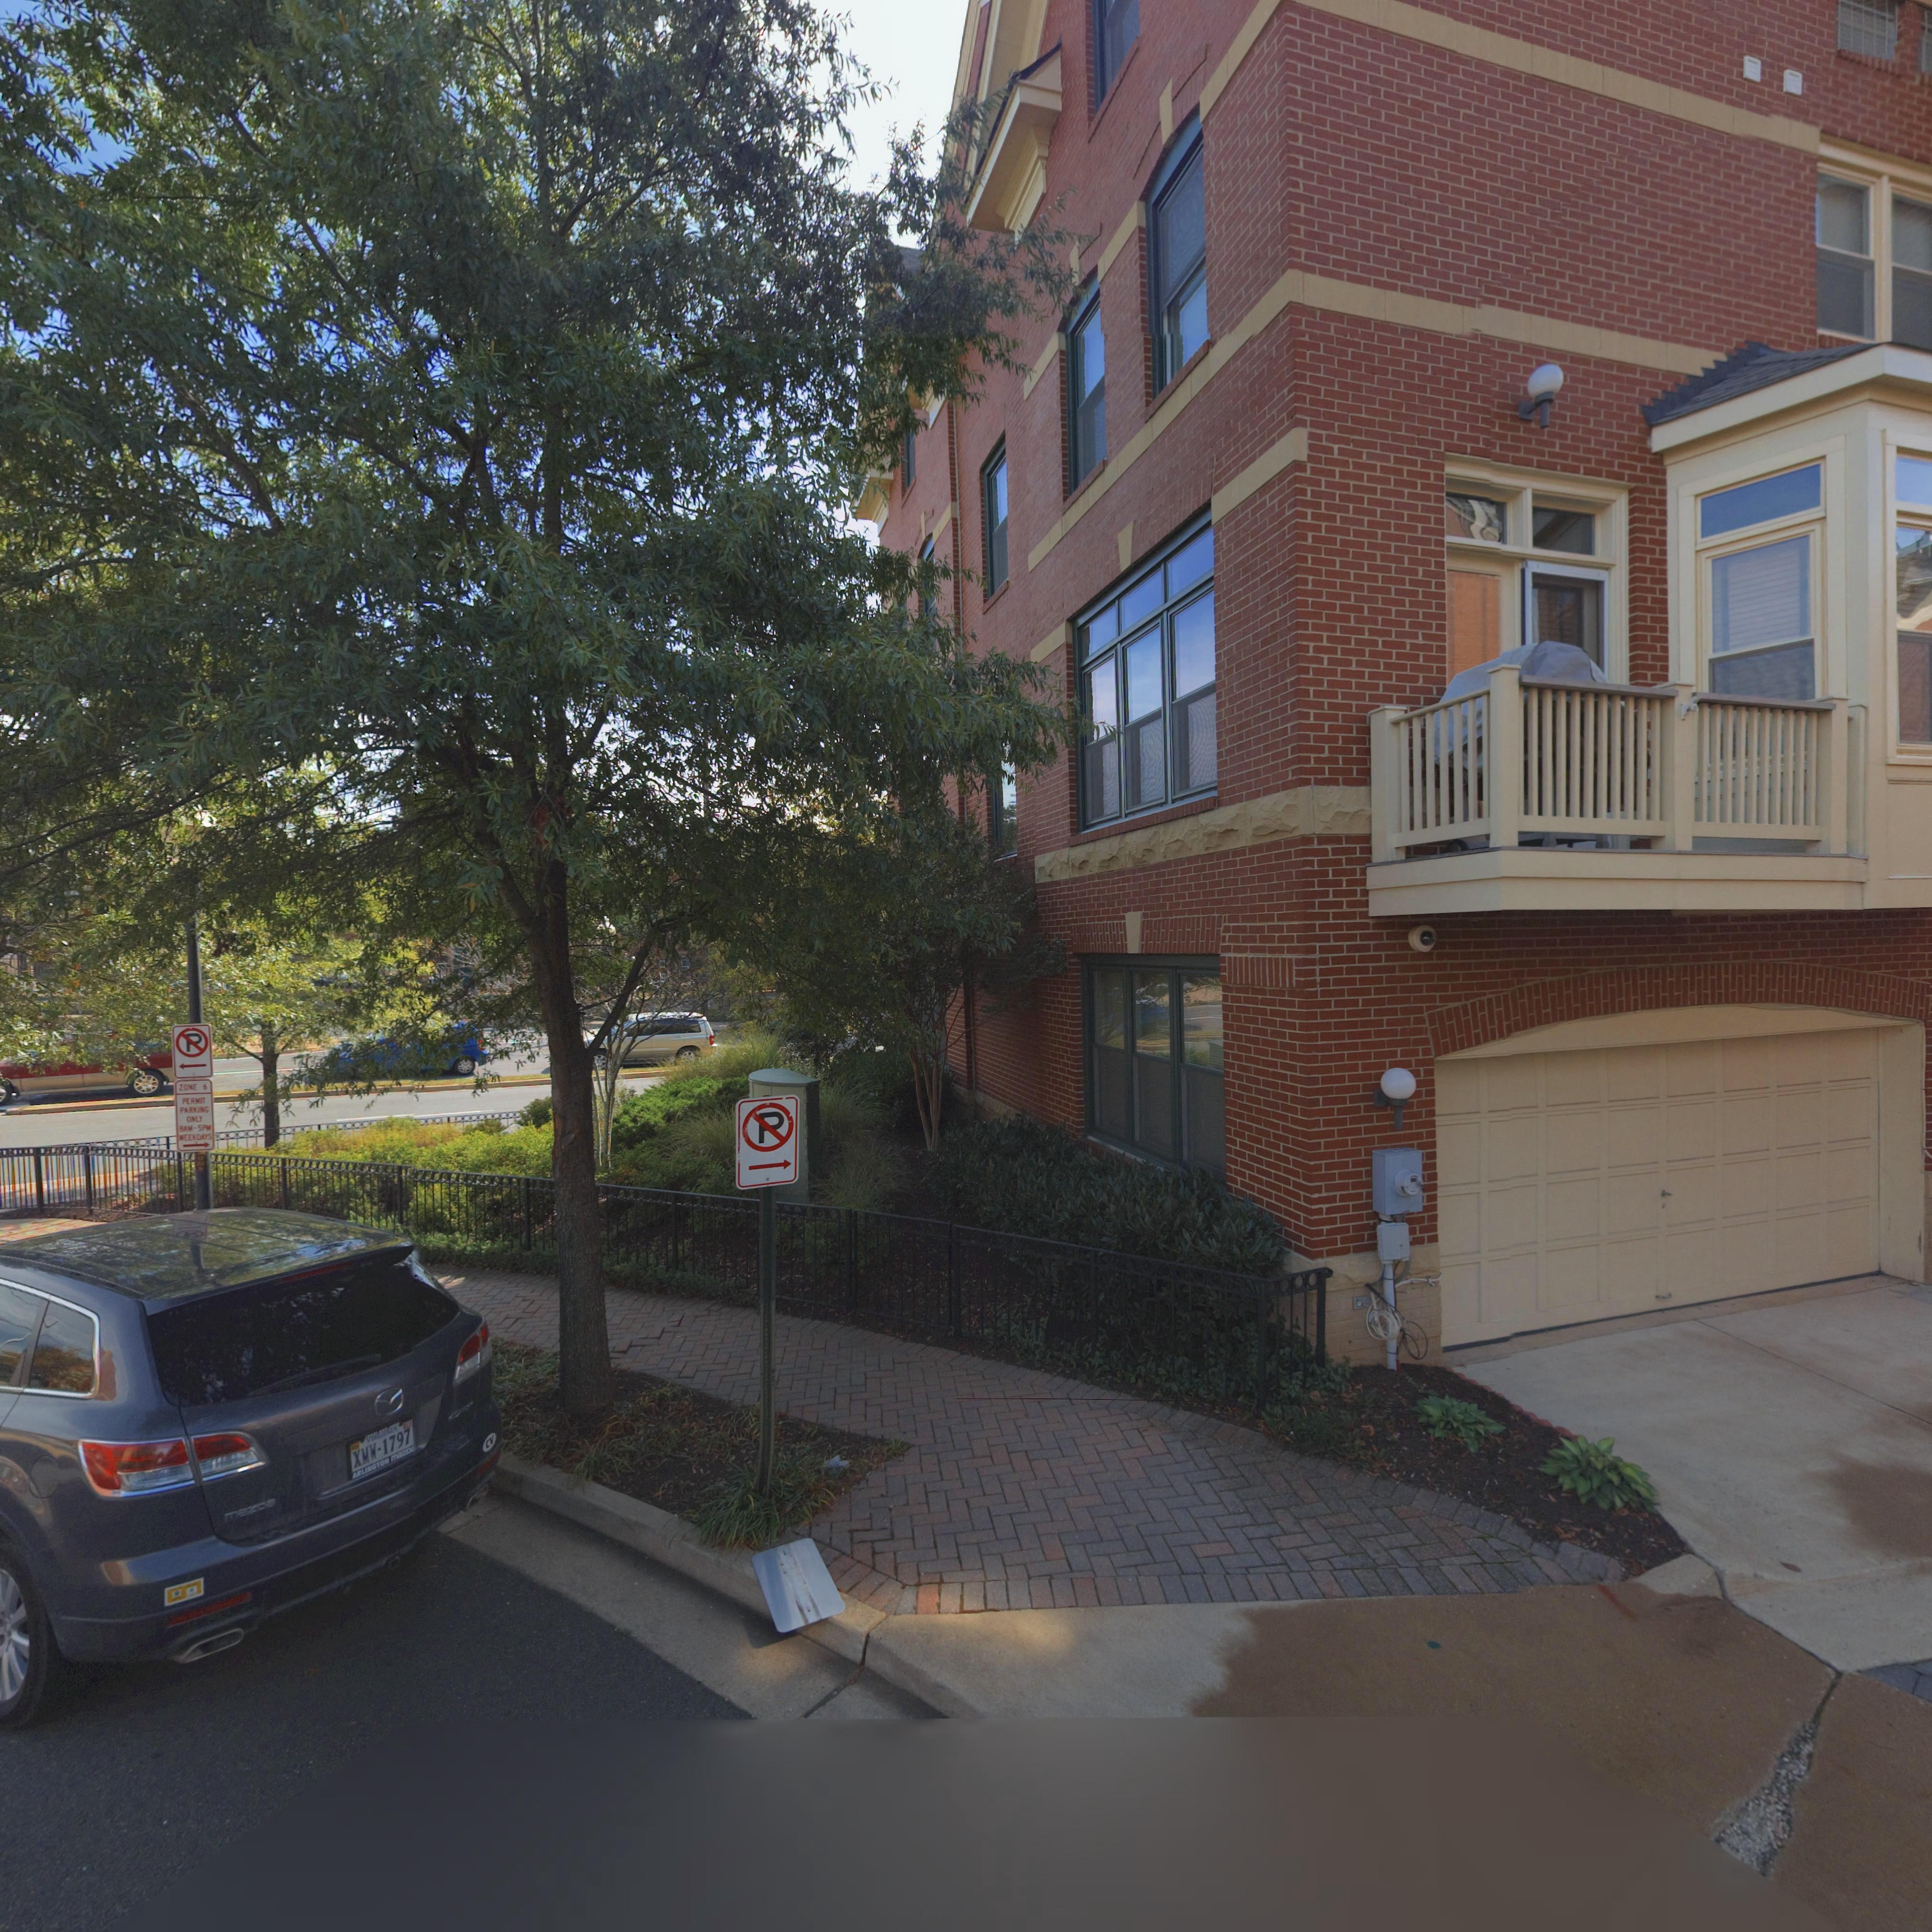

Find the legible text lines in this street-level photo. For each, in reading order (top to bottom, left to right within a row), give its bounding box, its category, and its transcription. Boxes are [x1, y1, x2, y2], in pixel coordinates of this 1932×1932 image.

[179, 1083, 208, 1091] None: ZONE 6
[182, 1097, 206, 1105] None: PERMIT
[180, 1106, 209, 1114] None: PARKING
[186, 1115, 203, 1123] None: ONLY
[179, 1124, 211, 1133] None: 8AM-5PM
[178, 1133, 213, 1141] None: WEEKDAYS
[197, 1156, 204, 1161] None: 12
[197, 1161, 205, 1167] None: *2
[198, 1167, 203, 1172] None: N
[365, 1425, 399, 1444] None: VIRGINIA
[485, 1434, 494, 1449] None: CV
[353, 1427, 410, 1470] None: XMW-1797
[352, 1444, 416, 1480] None: ARLINGTON mazDa
[223, 1497, 276, 1524] None: mazDa